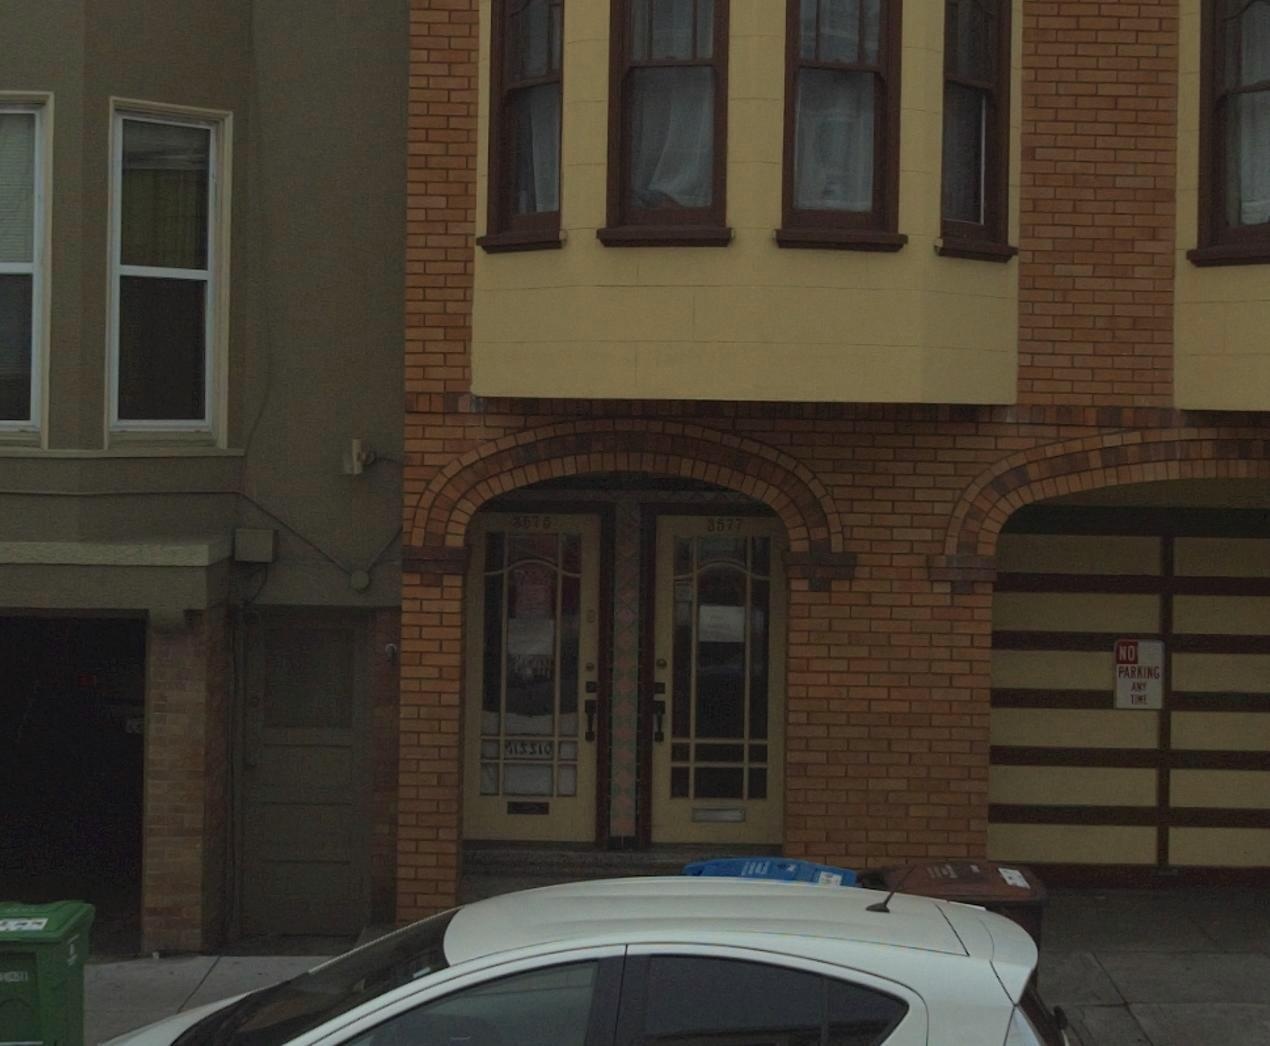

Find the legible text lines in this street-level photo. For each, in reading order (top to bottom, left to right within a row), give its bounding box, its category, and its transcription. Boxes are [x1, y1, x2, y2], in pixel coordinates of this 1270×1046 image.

[512, 514, 552, 530] StreetNumber: 3575
[706, 517, 745, 533] StreetNumber: 3577
[1118, 645, 1137, 662] None: NO
[1117, 665, 1162, 679] None: PARKING
[1130, 681, 1148, 693] None: ANY
[1129, 693, 1148, 704] None: TIME
[500, 740, 561, 756] None: *ISSIO*